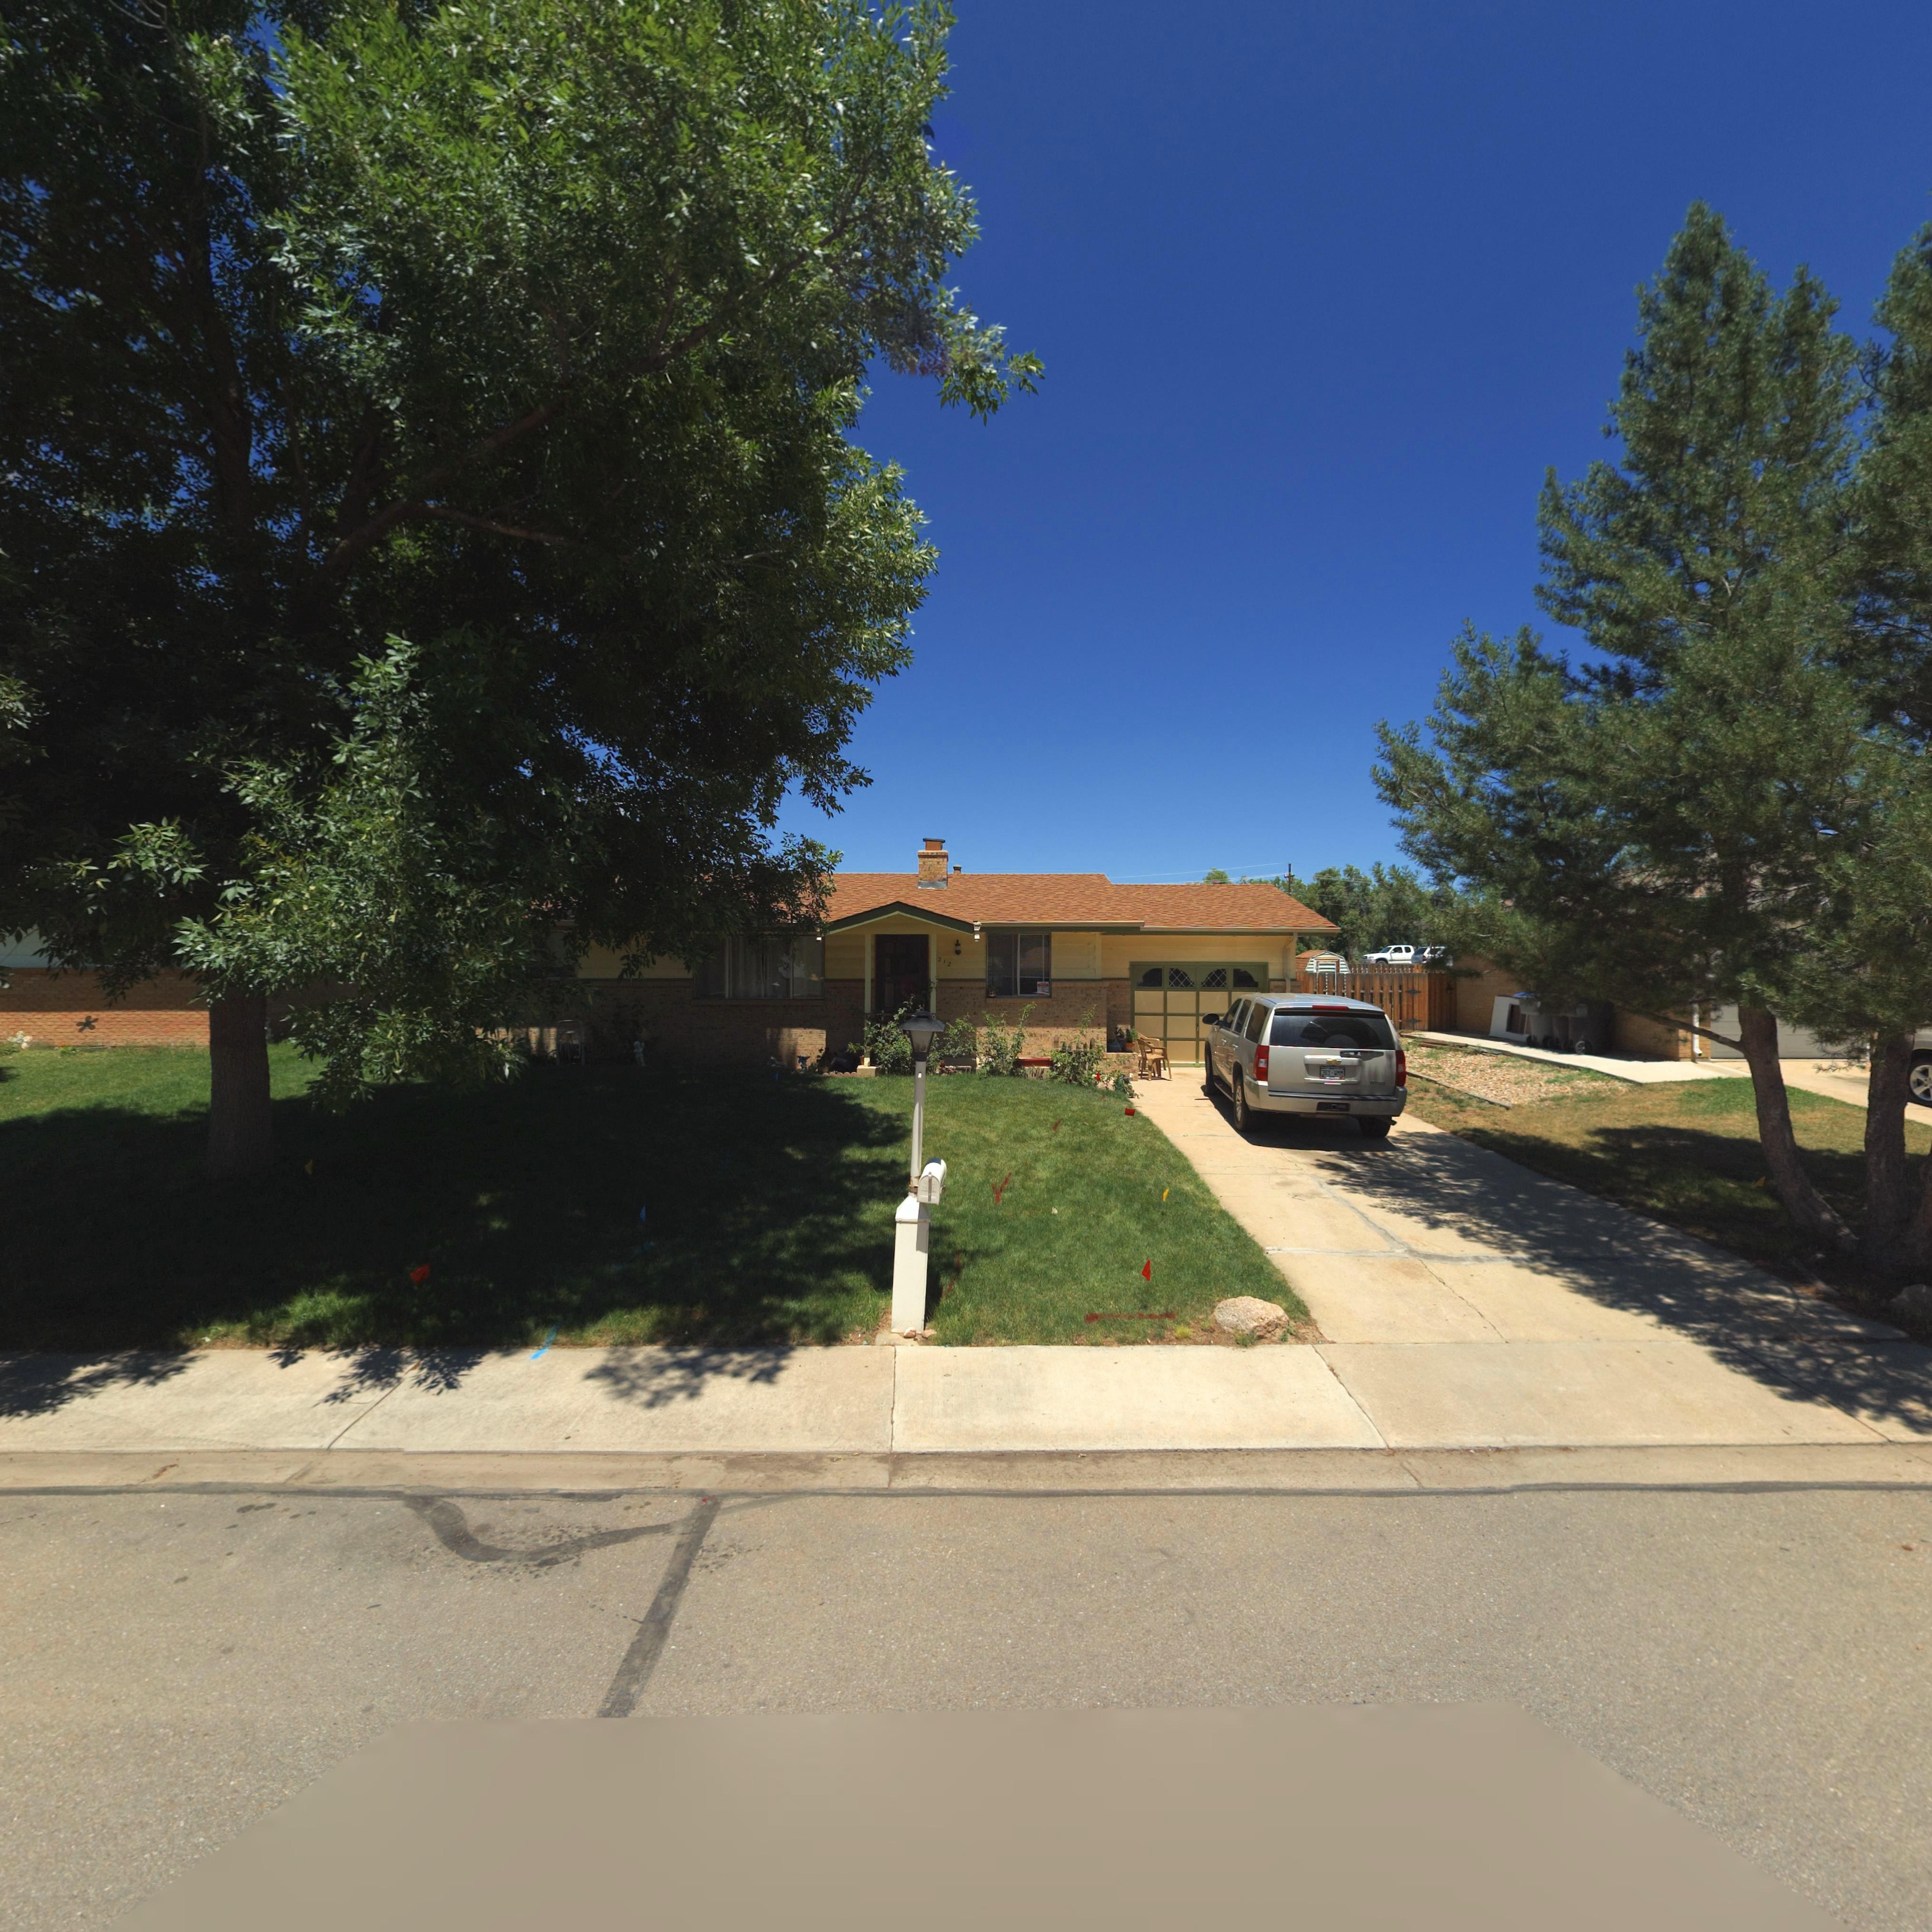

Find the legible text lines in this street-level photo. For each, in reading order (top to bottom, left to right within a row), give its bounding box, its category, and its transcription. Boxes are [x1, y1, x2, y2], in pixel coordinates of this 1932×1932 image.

[937, 956, 951, 966] StreetNumber: 212